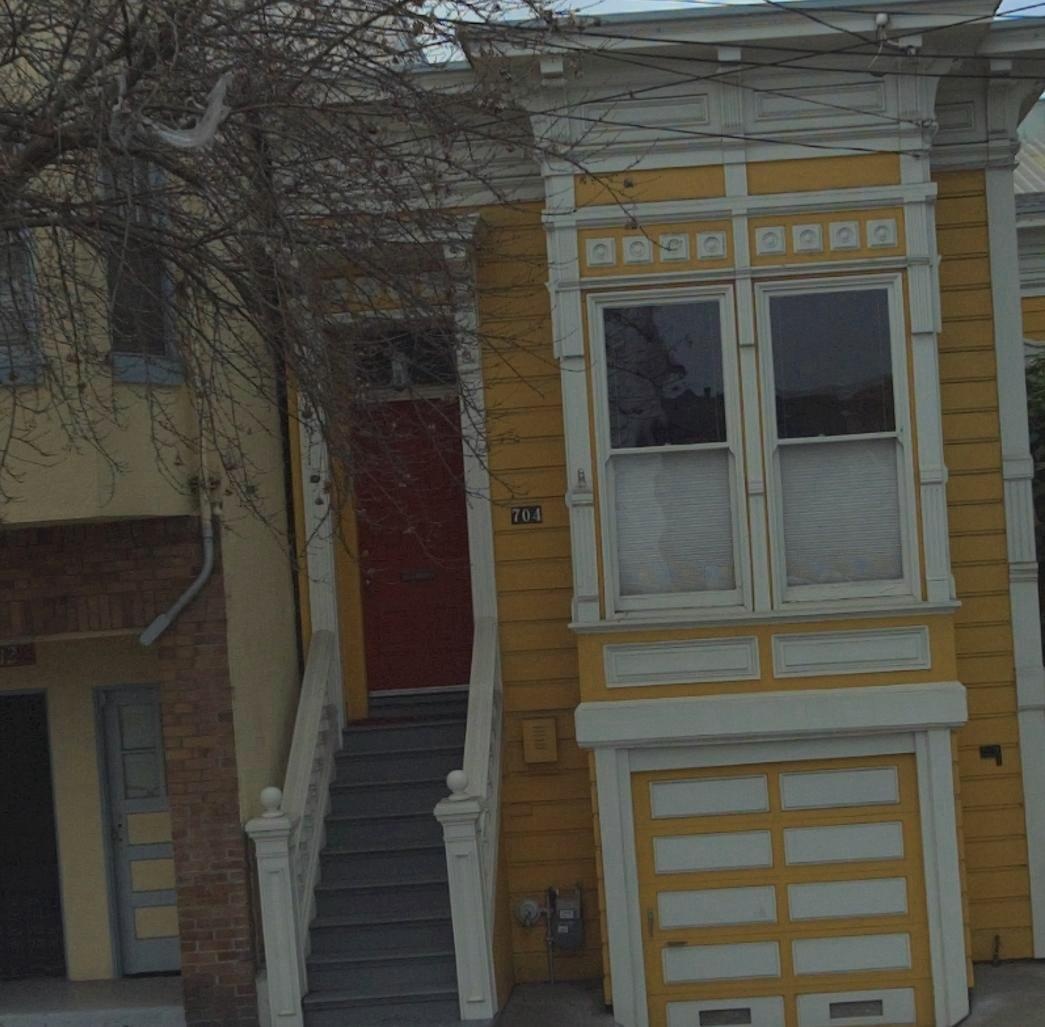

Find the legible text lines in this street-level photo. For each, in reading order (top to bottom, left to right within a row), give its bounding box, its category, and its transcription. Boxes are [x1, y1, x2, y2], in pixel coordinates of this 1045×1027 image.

[510, 507, 543, 523] StreetNumber: 704